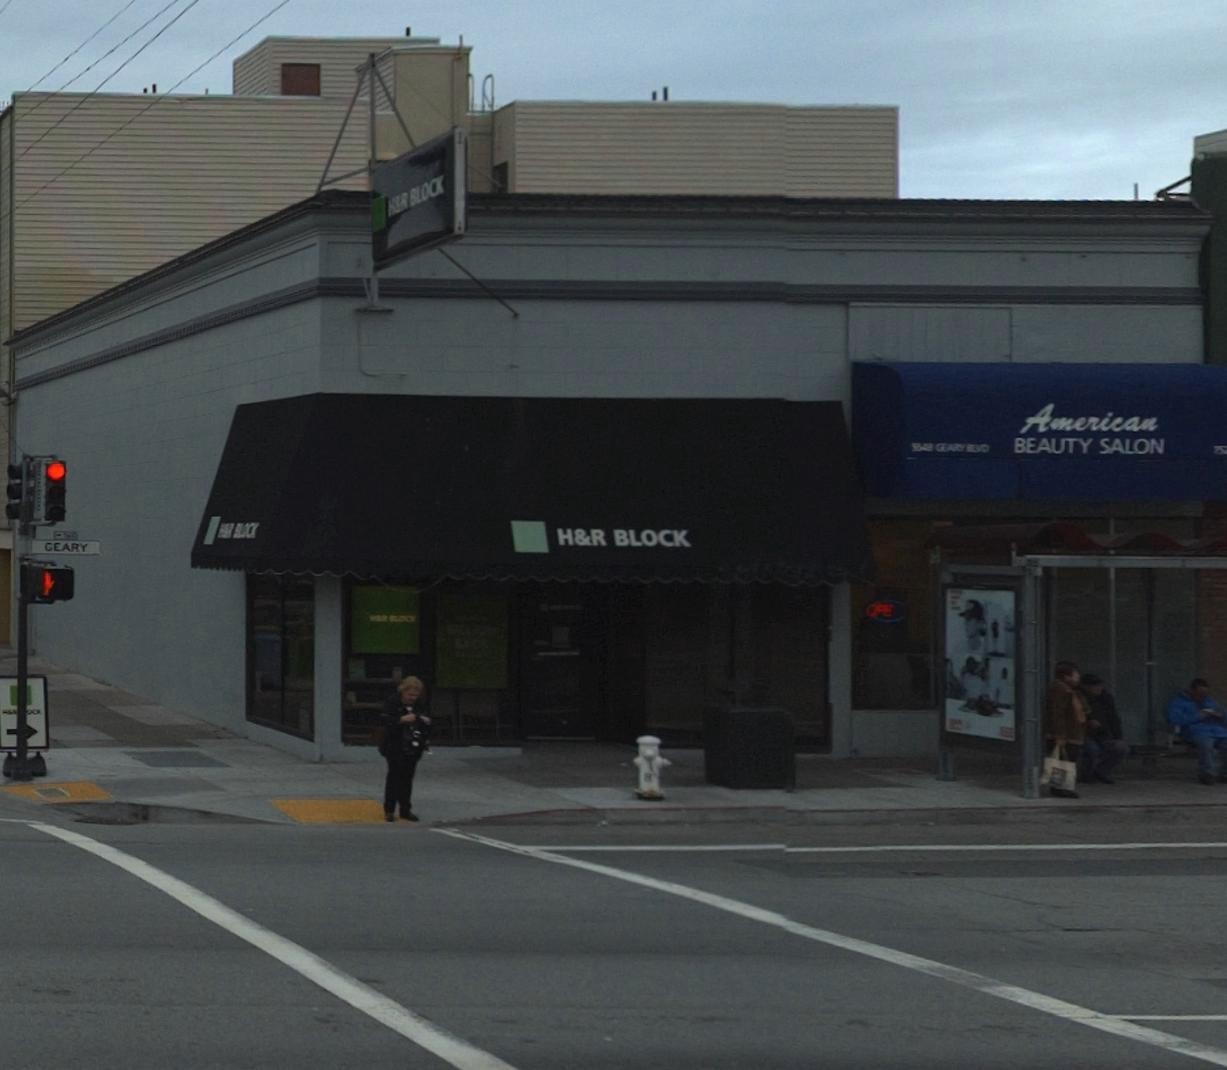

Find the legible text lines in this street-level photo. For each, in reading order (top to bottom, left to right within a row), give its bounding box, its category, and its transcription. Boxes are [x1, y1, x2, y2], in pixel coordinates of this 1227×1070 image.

[409, 170, 448, 210] BusinessName: BLOCK
[1015, 400, 1162, 437] BusinessName: American
[1012, 434, 1168, 459] BusinessName: BEAUTY SALON
[43, 540, 89, 554] StreetName: GEARY
[553, 526, 694, 550] BusinessName: H&R BLOCK